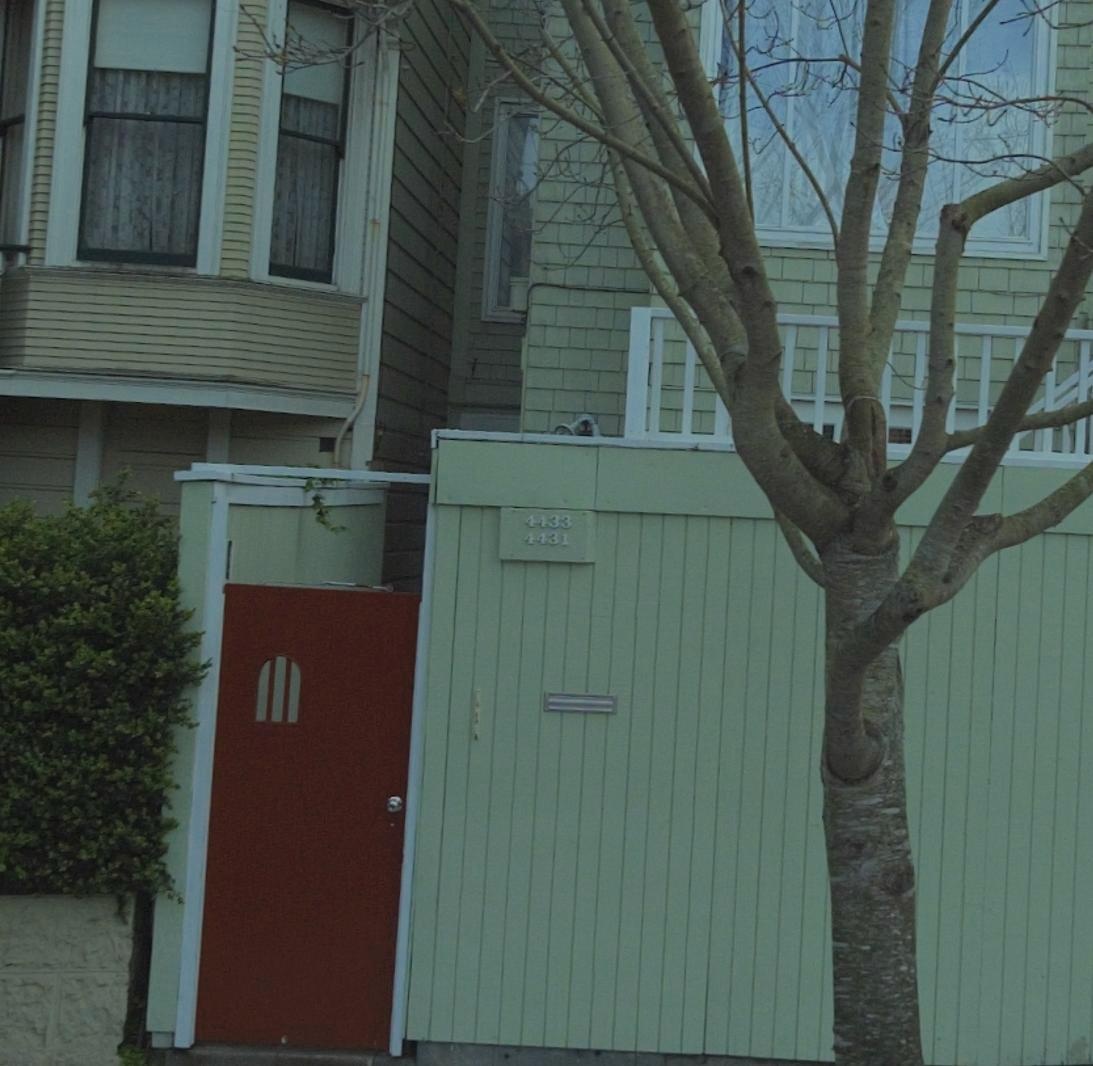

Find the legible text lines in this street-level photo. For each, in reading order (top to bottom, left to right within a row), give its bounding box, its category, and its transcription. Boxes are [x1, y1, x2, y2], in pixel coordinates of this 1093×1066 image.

[525, 514, 571, 529] StreetNumber: 4433
[523, 530, 569, 546] StreetNumber: 4431